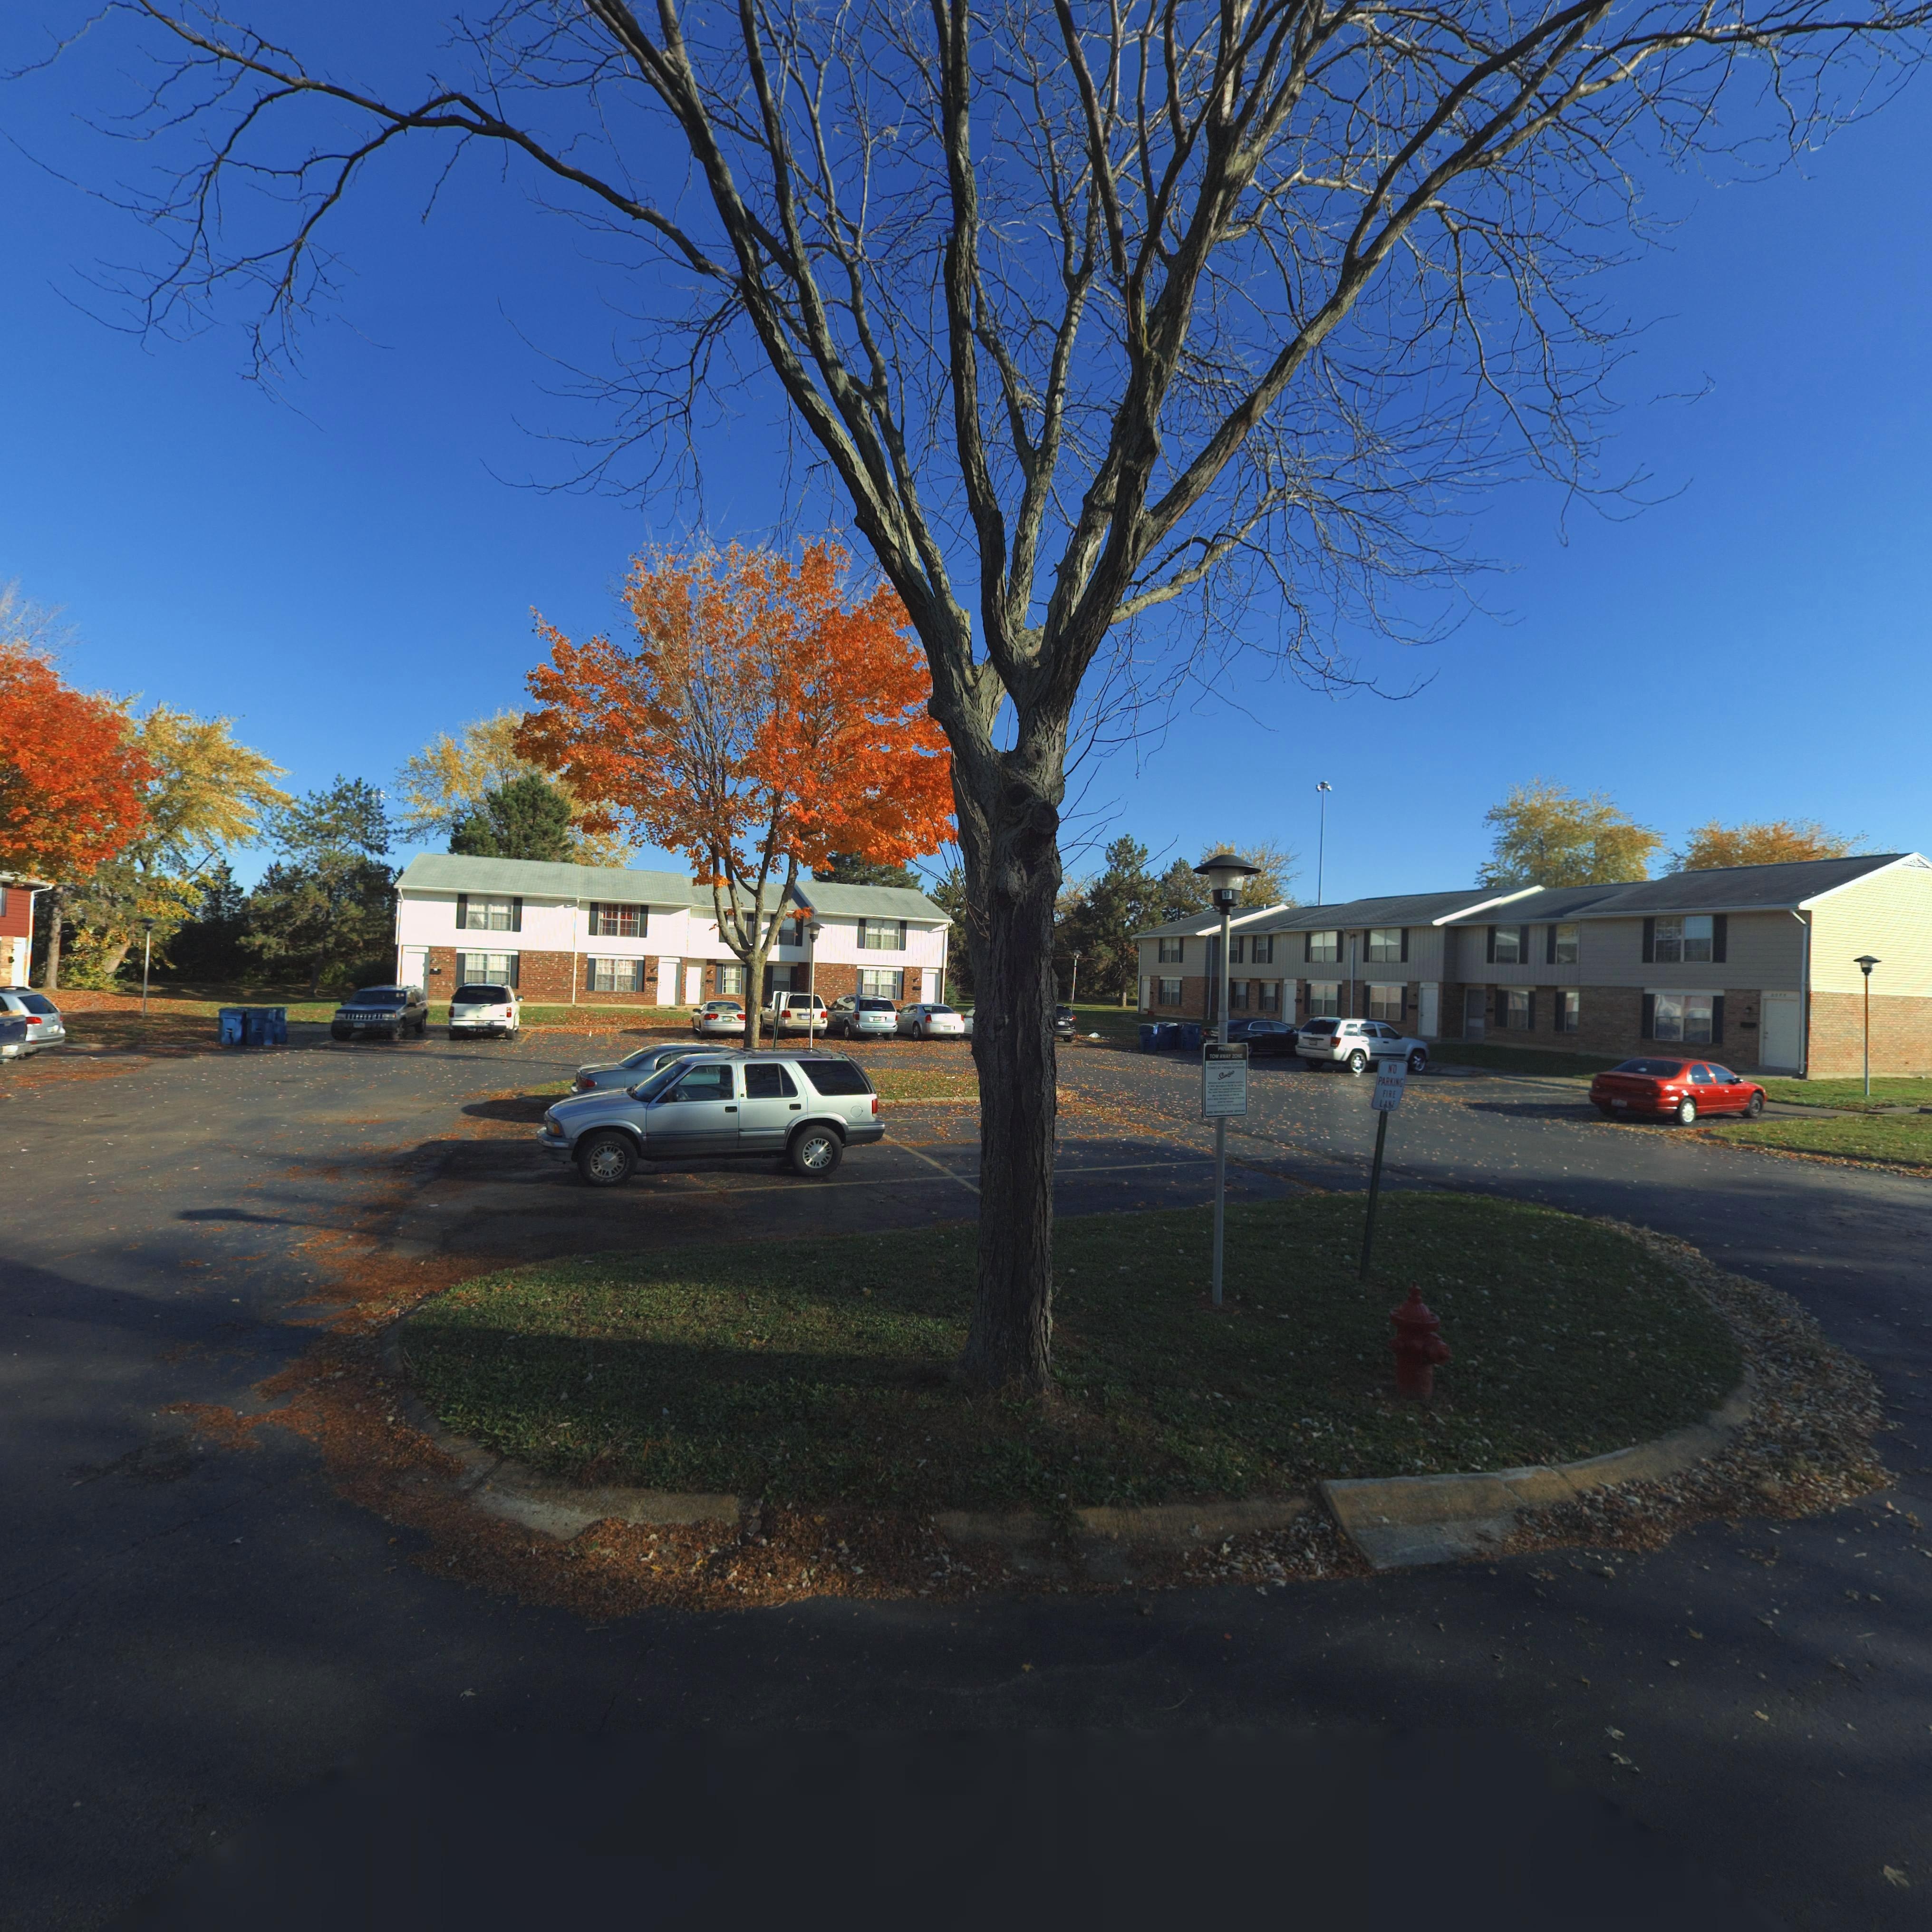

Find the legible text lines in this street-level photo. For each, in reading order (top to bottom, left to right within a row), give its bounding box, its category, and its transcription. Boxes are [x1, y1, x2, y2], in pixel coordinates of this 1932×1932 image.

[1770, 993, 1787, 997] StreetNumber: 8**7